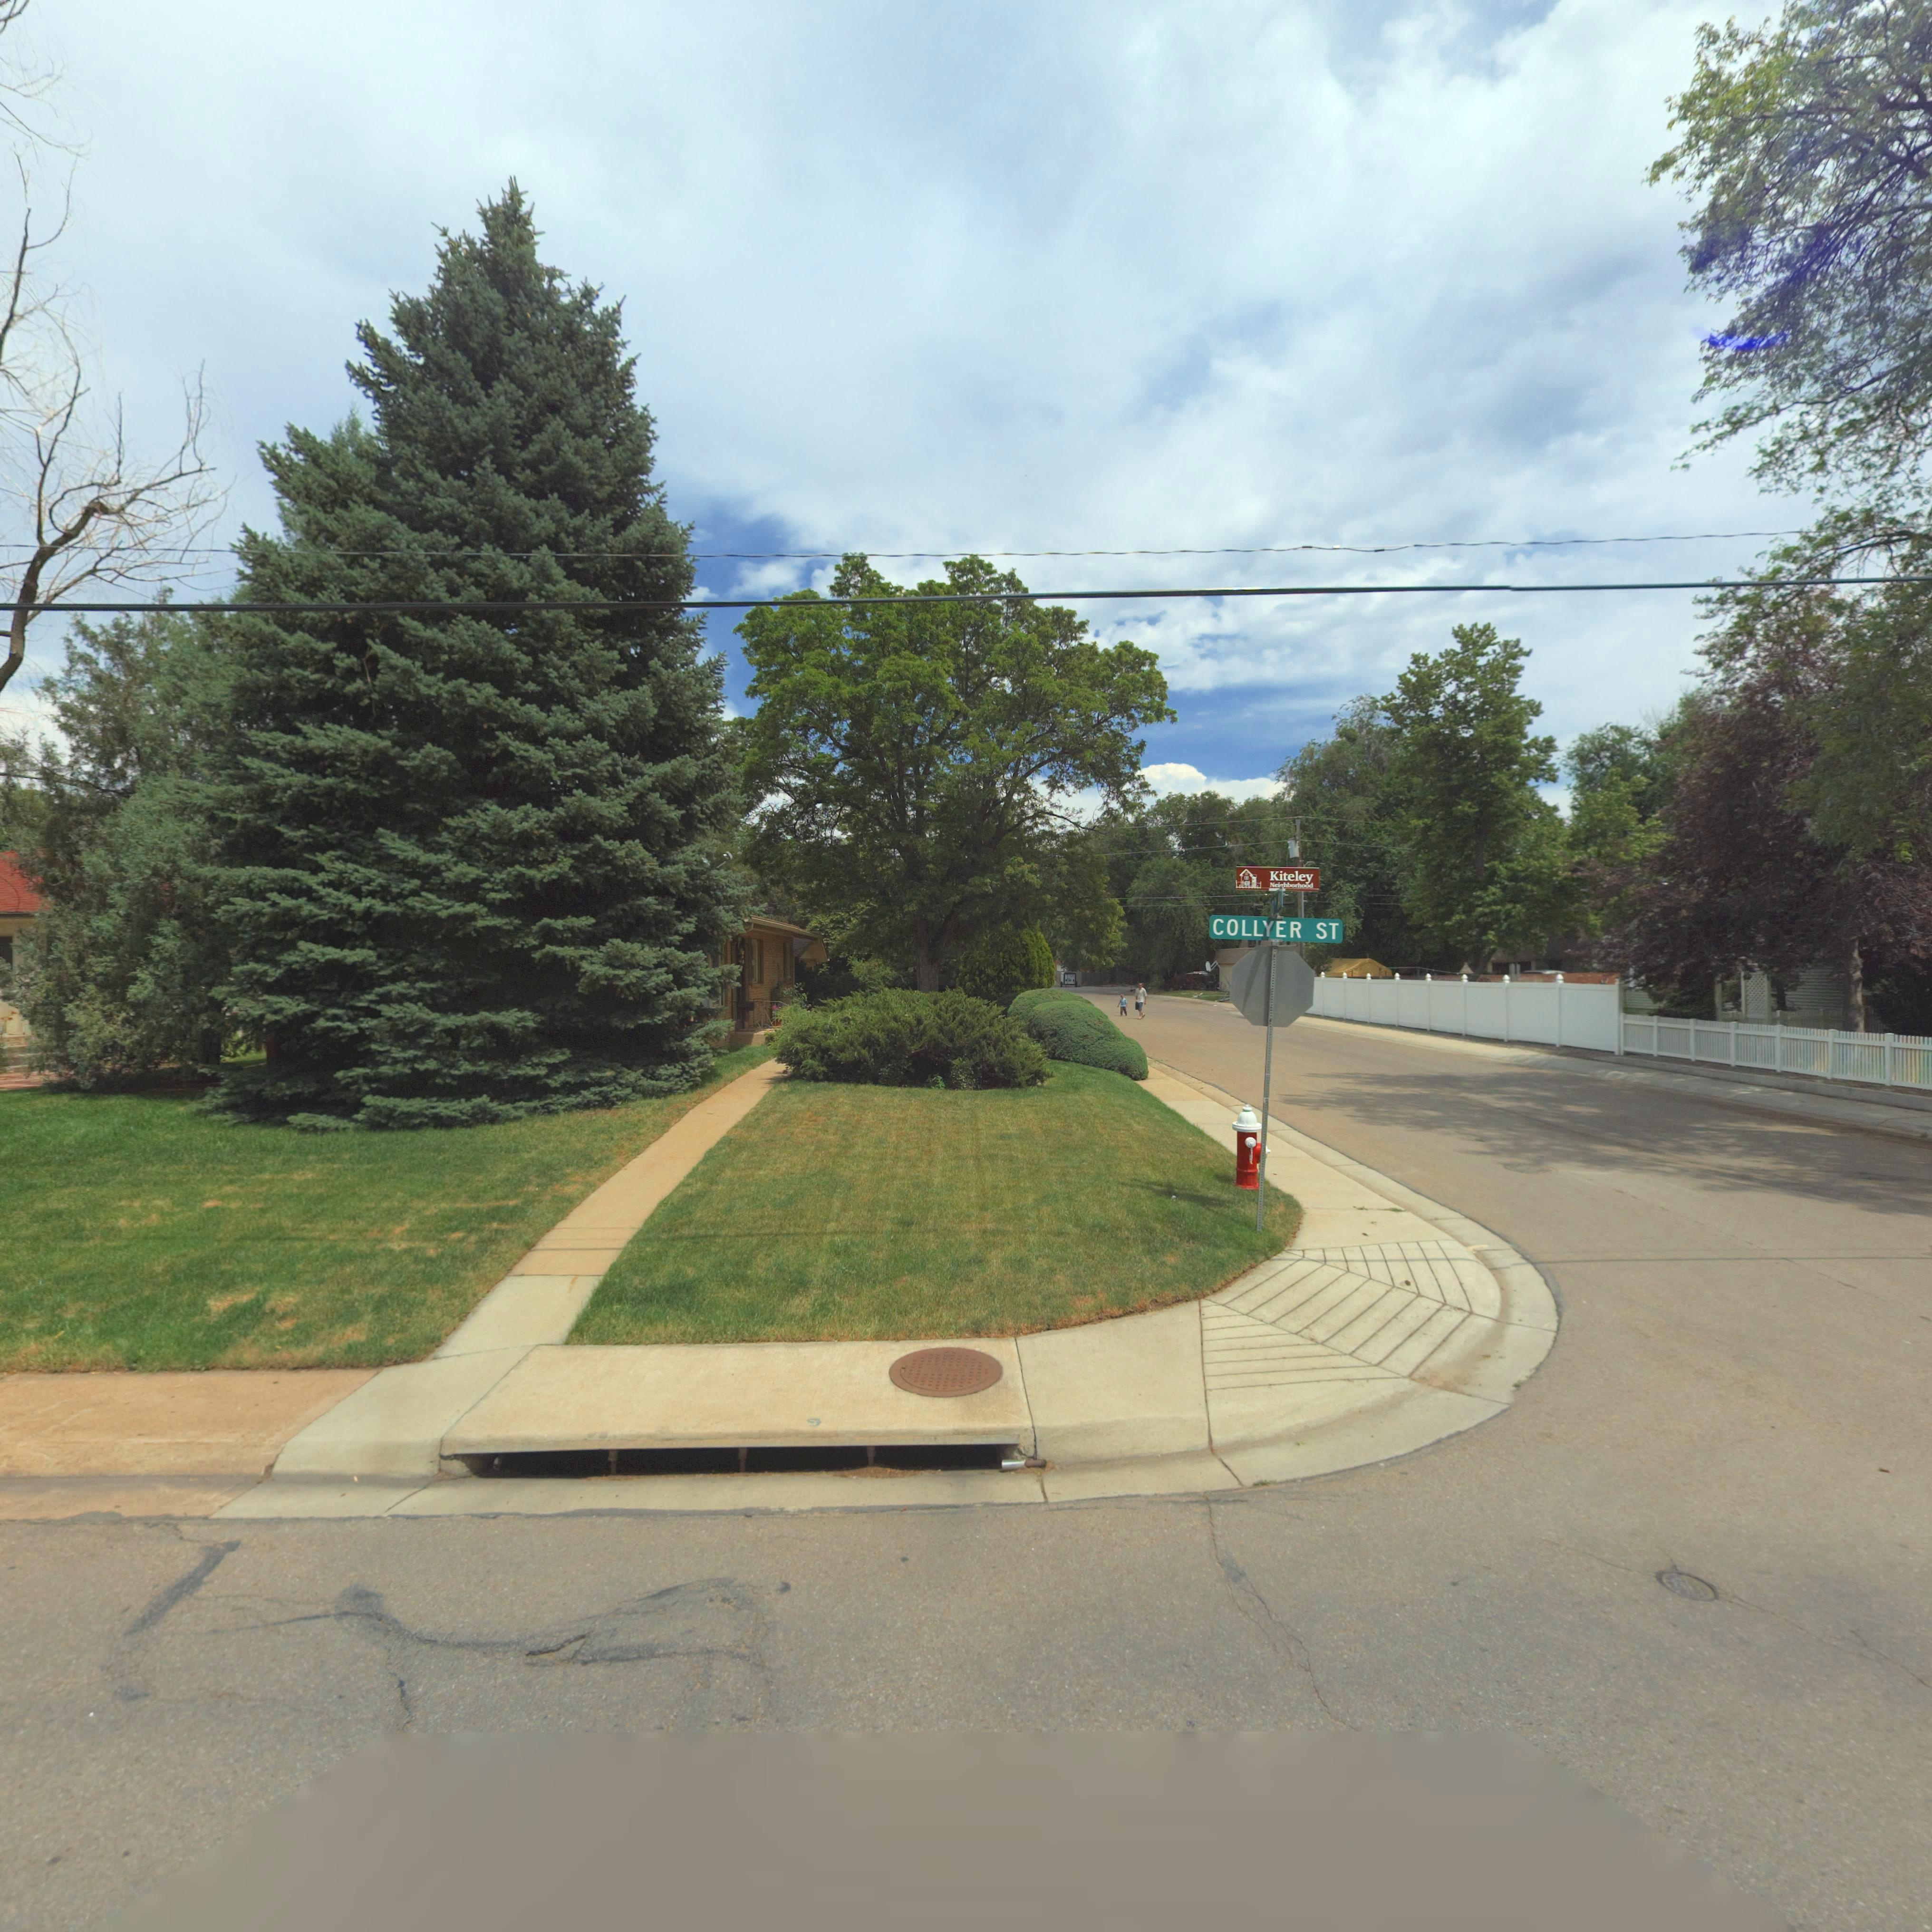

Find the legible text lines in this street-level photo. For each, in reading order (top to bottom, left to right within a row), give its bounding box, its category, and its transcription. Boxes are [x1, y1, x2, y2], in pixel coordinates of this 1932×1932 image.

[1212, 918, 1339, 940] StreetName: COLLYER ST